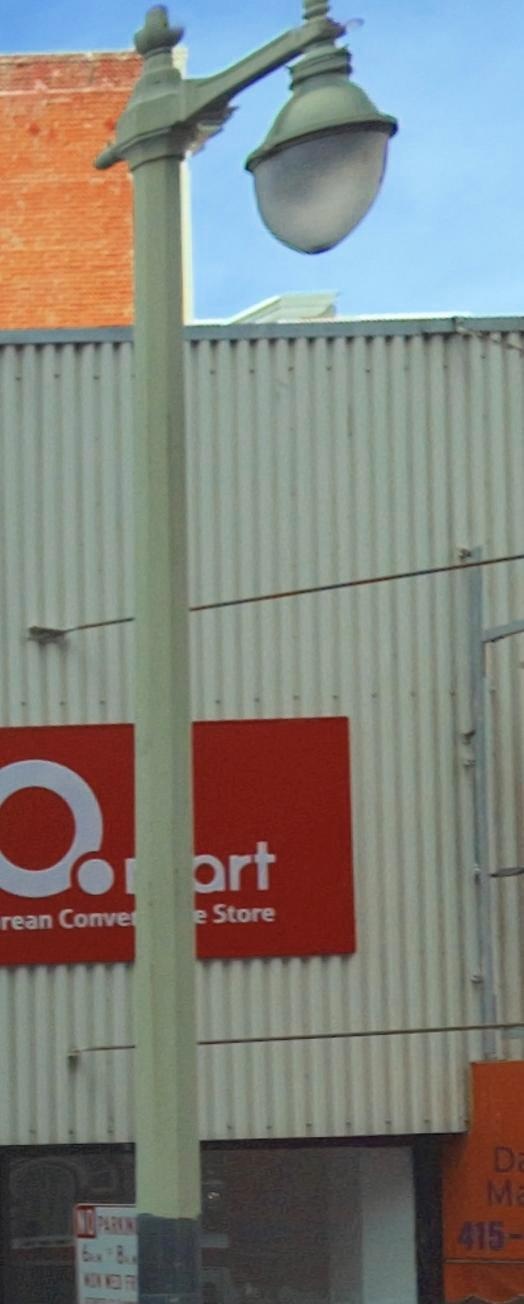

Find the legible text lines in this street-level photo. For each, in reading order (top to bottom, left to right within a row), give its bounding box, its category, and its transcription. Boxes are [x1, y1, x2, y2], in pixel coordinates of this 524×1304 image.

[223, 835, 279, 899] BusinessName: rt
[0, 900, 280, 934] None: rean Conve*****e Store
[489, 1143, 517, 1175] None: D
[483, 1175, 517, 1211] None: M
[74, 1205, 115, 1240] None: NO PA
[453, 1217, 507, 1253] None: 415
[78, 1241, 90, 1266] None: 6
[112, 1241, 127, 1268] None: 8